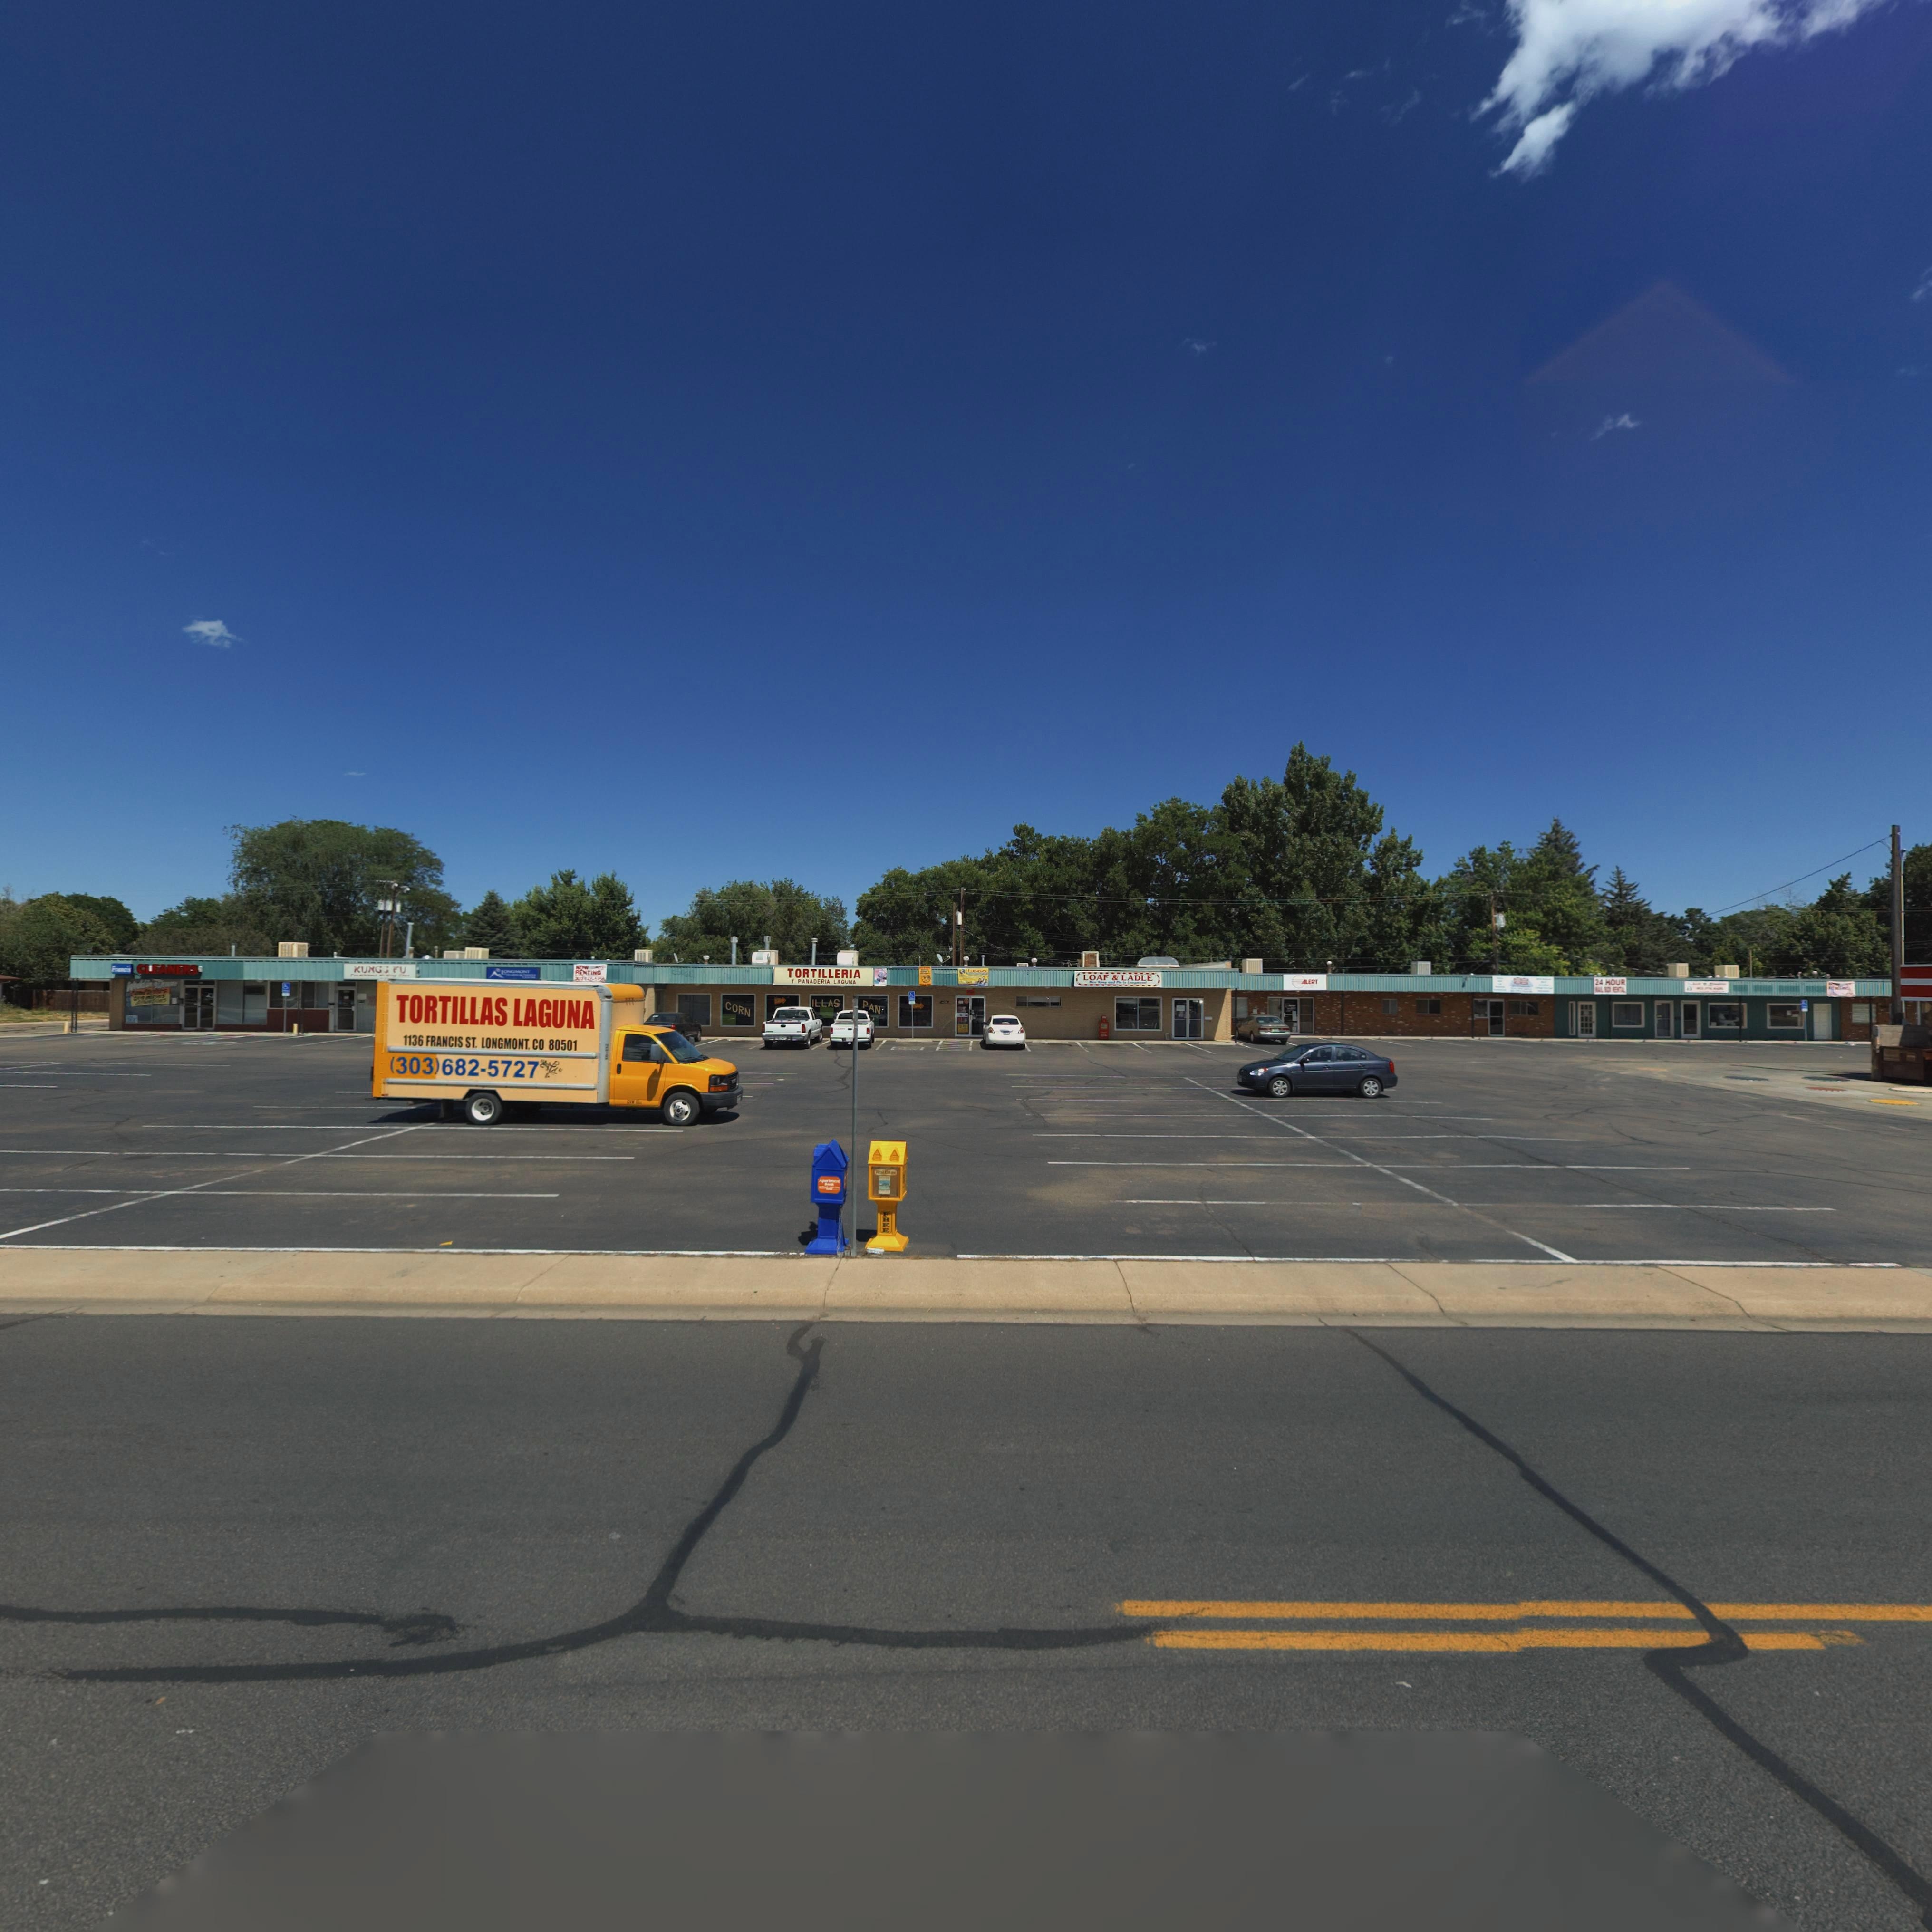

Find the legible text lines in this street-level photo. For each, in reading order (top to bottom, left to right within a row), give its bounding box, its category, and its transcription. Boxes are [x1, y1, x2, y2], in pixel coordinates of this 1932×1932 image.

[501, 969, 531, 975] BusinessName: LONGMONT
[1083, 974, 1153, 981] BusinessName: LOAF & LADLE